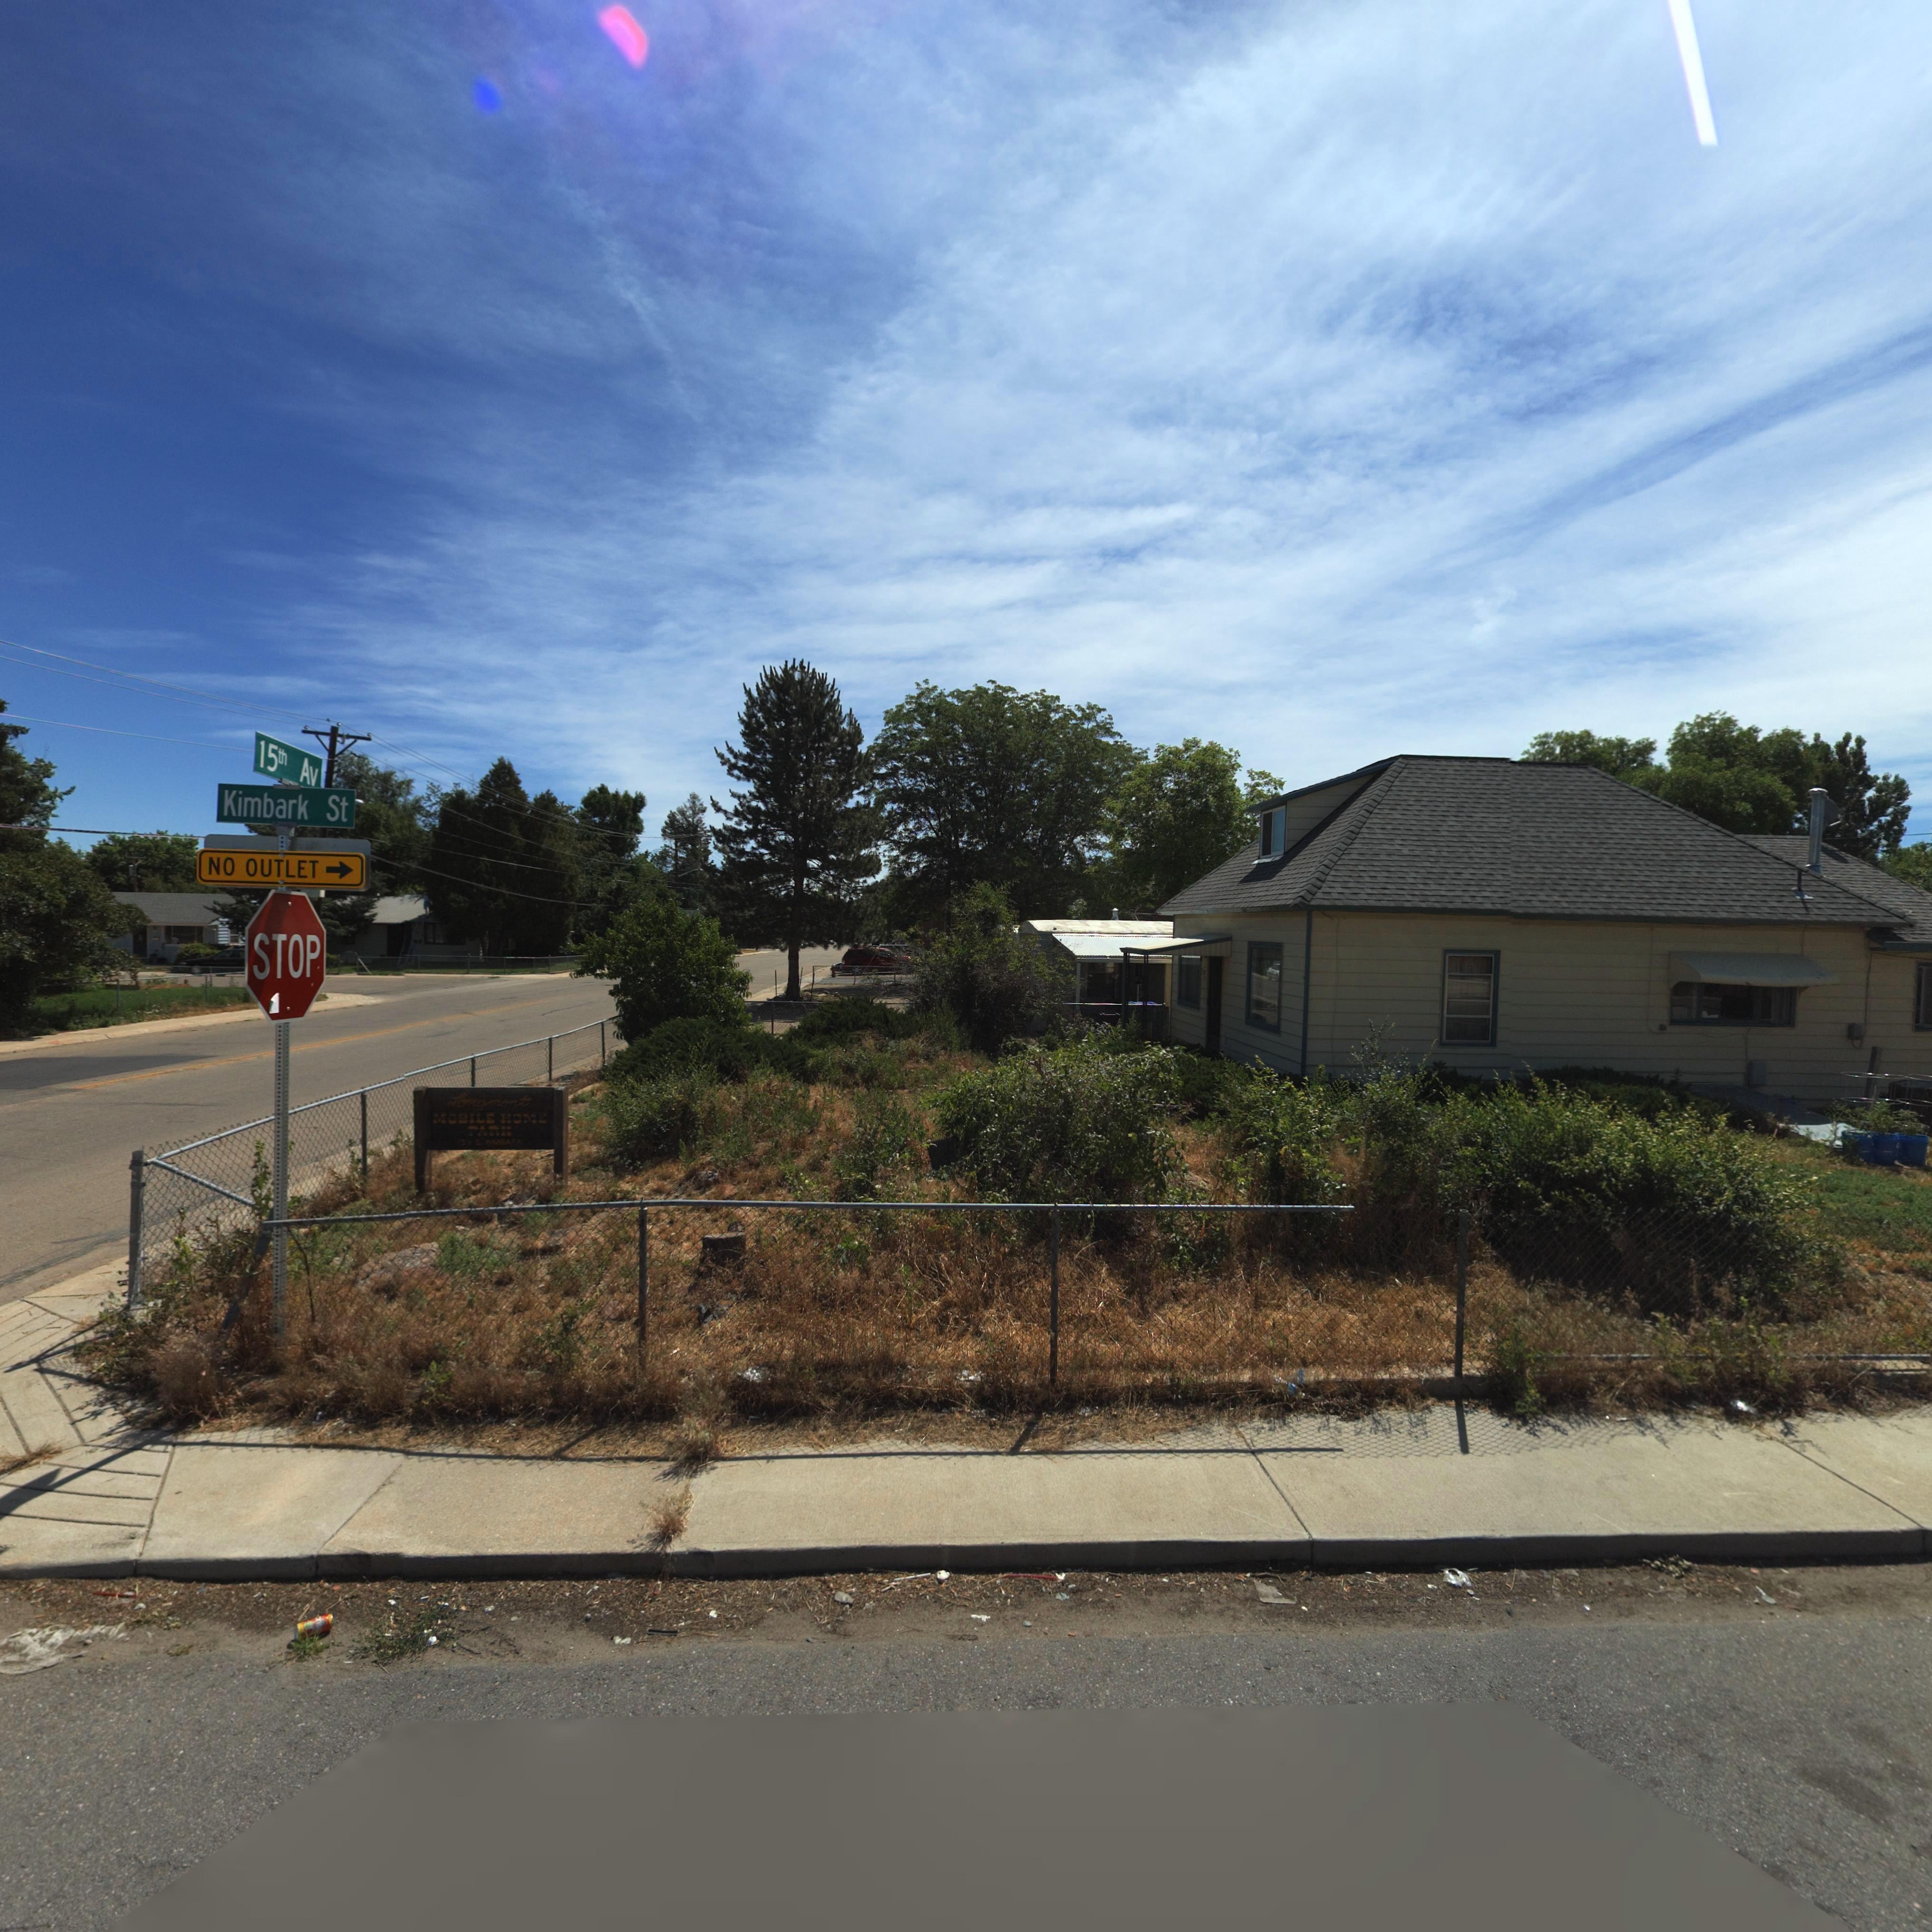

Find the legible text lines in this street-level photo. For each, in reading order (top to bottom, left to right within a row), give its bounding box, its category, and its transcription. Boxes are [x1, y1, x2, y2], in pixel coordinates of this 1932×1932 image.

[259, 737, 320, 787] StreetName: 15th Av
[223, 789, 349, 822] StreetName: Kimbark St
[456, 1138, 473, 1146] StreetNumber: 15*
[484, 1139, 522, 1146] StreetName: KIMBARK